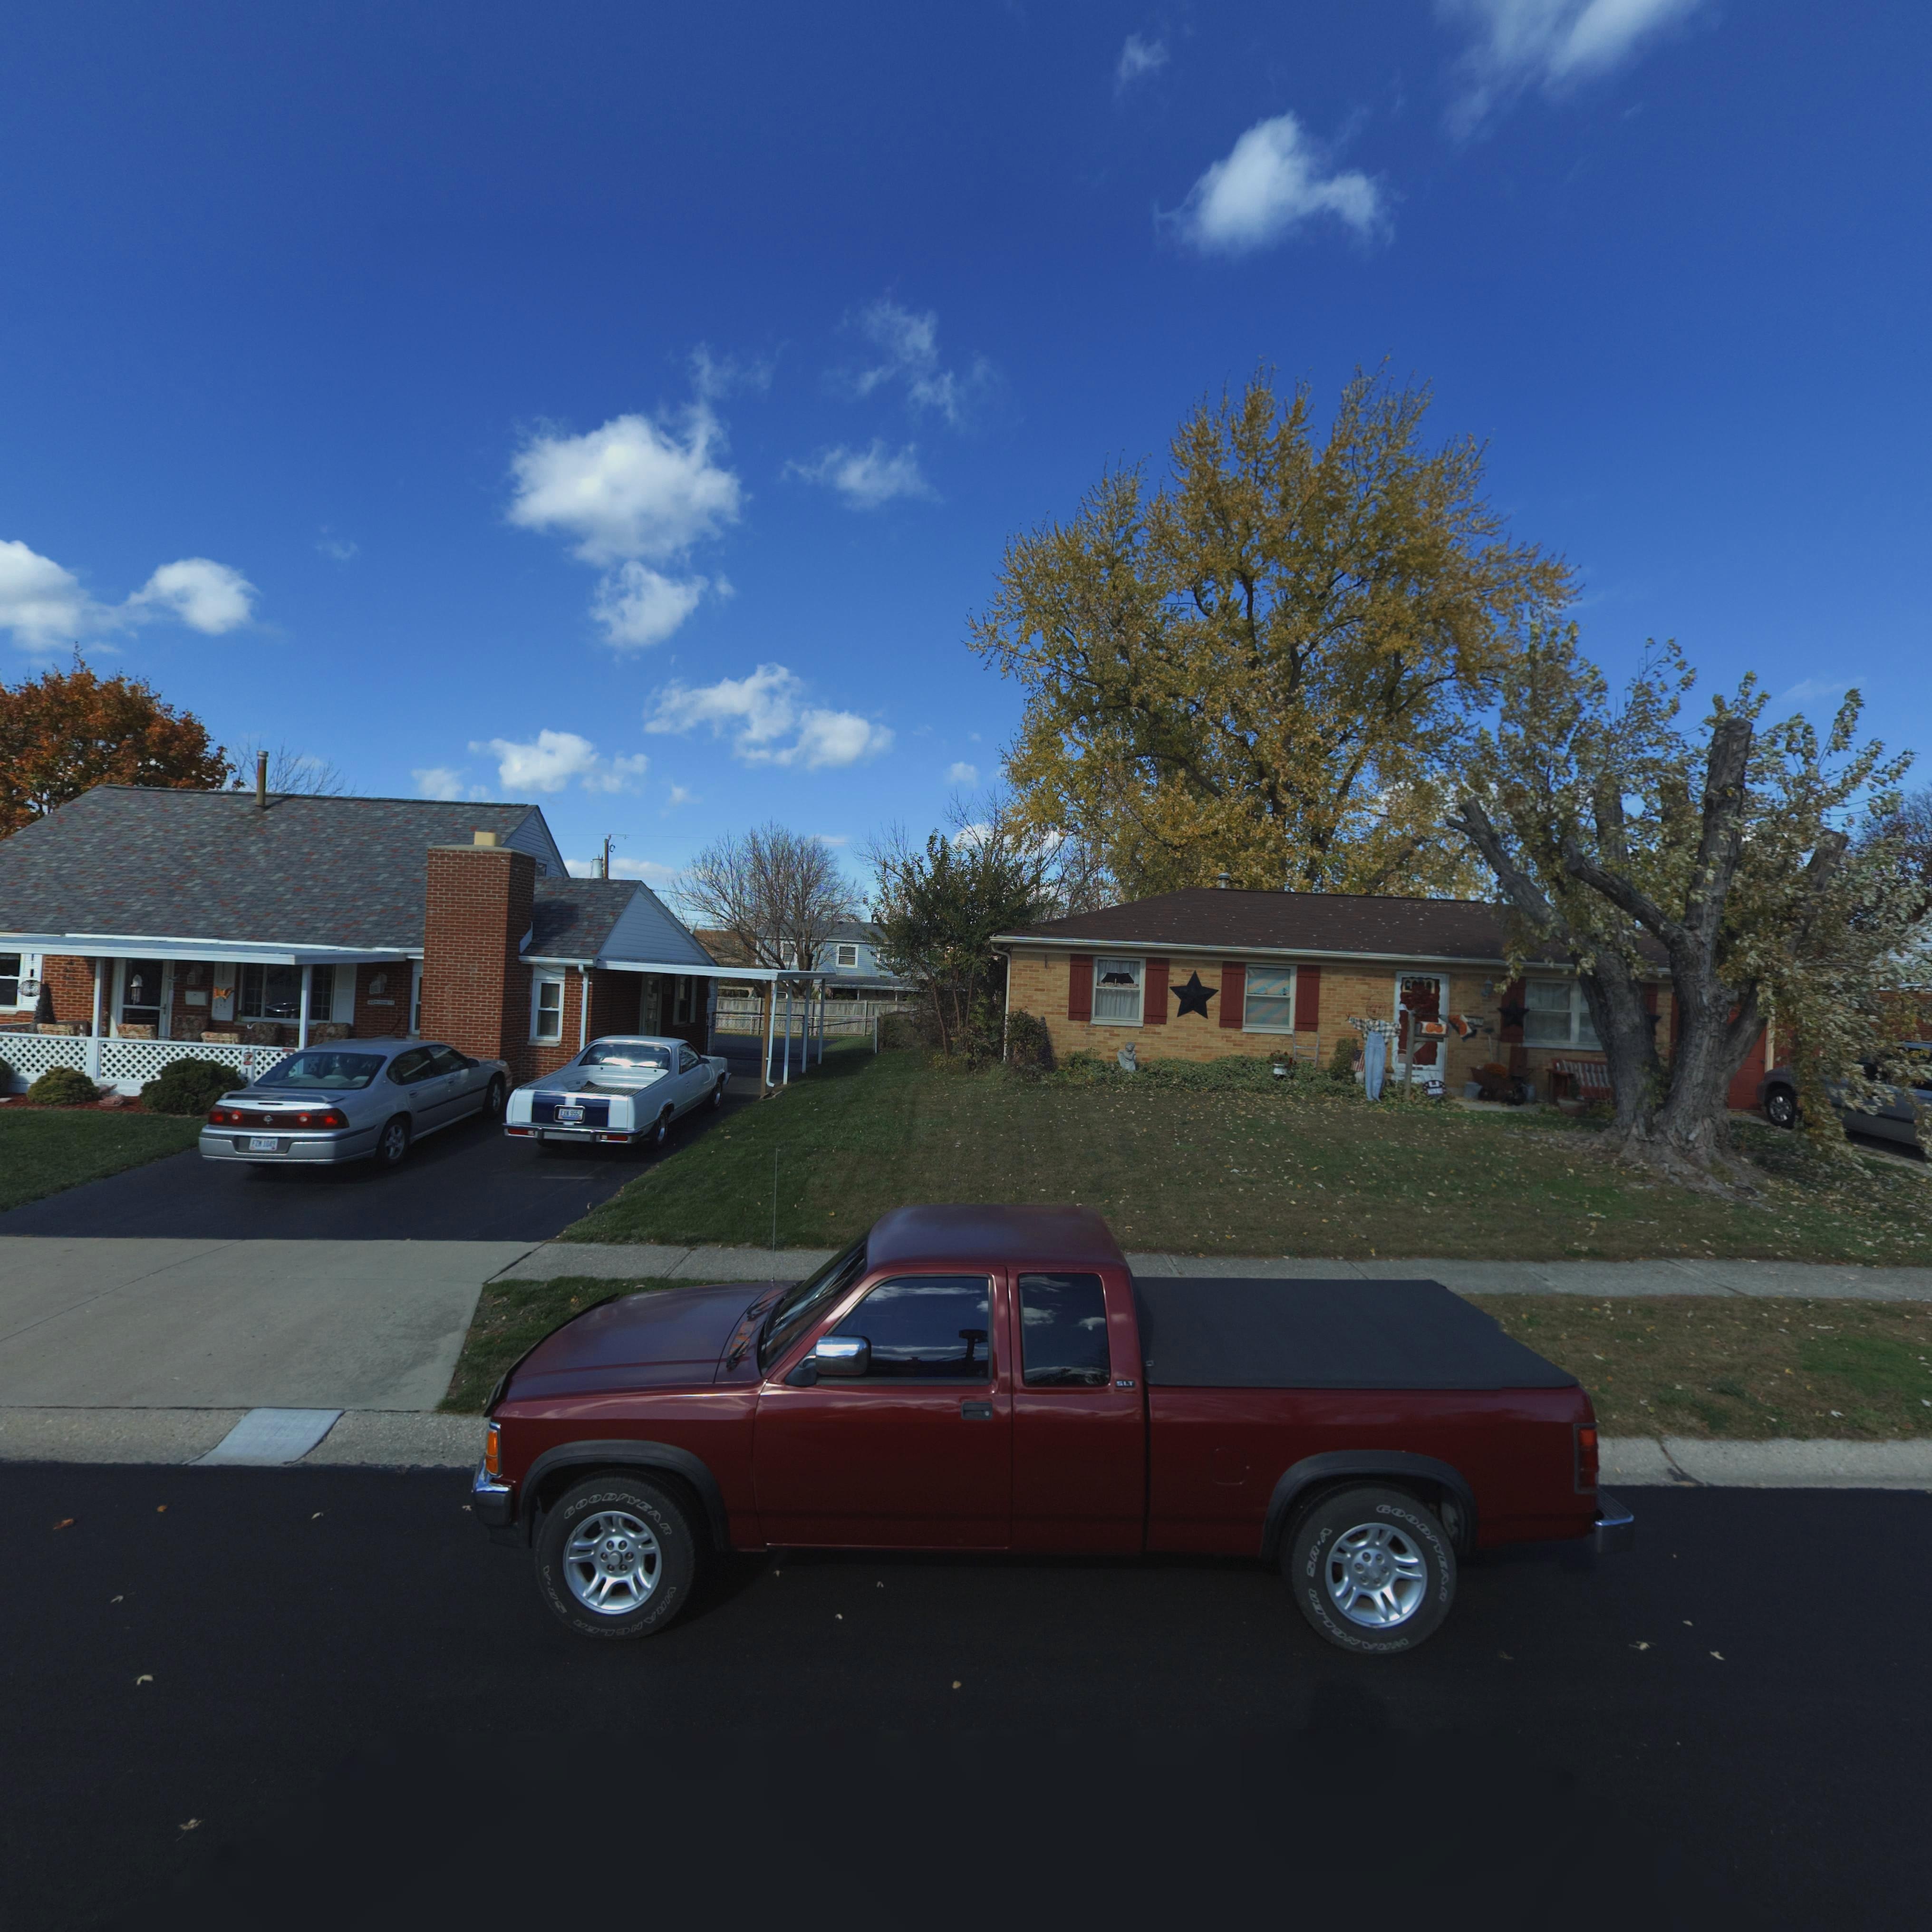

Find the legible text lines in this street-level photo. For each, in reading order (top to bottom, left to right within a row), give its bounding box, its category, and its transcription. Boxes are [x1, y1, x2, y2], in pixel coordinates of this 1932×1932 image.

[242, 1068, 249, 1084] StreetNumber: 13
[1427, 1088, 1443, 1094] StreetNumber: 761*